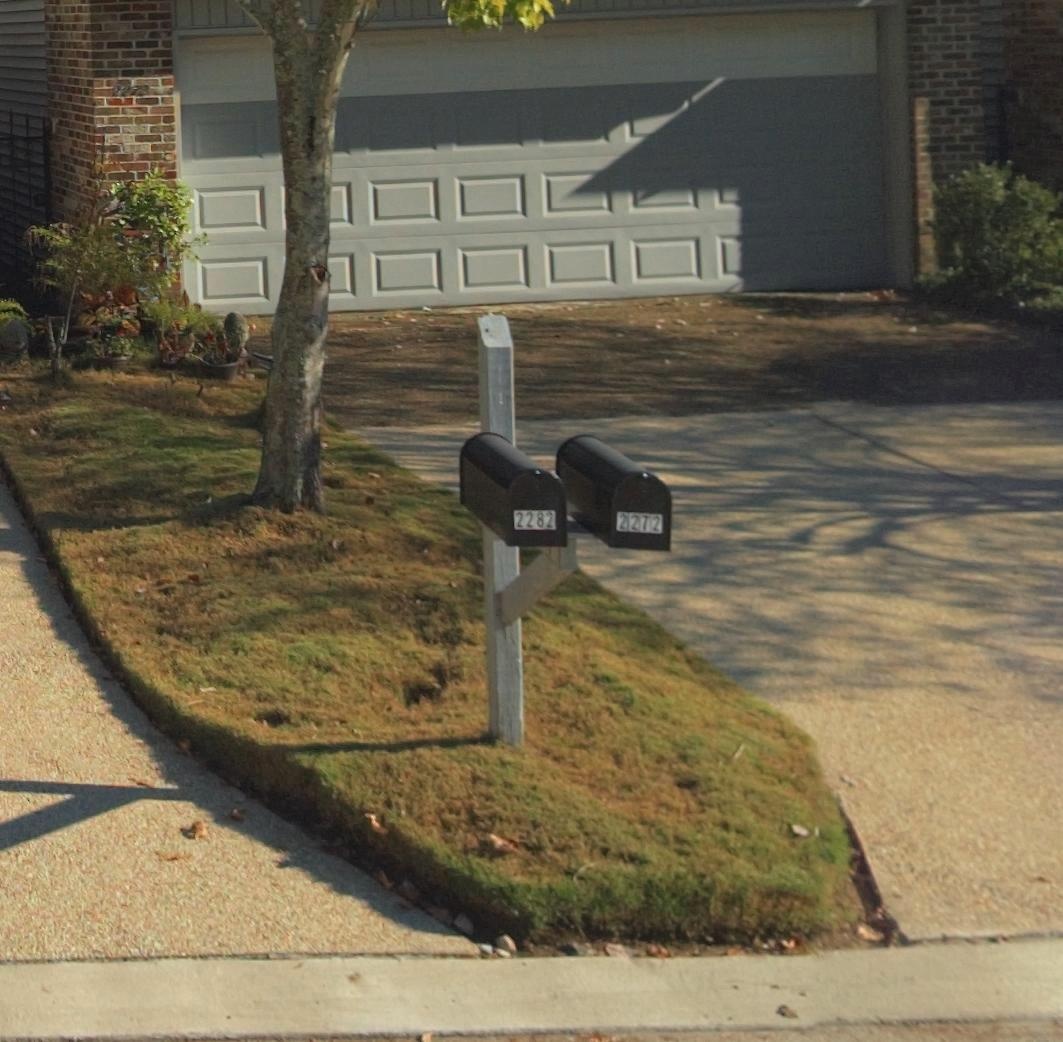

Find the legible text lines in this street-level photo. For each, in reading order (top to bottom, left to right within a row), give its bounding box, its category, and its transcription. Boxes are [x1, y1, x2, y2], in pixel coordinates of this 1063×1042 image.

[515, 509, 556, 530] StreetNumber: 2282
[617, 511, 661, 534] StreetNumber: 2272